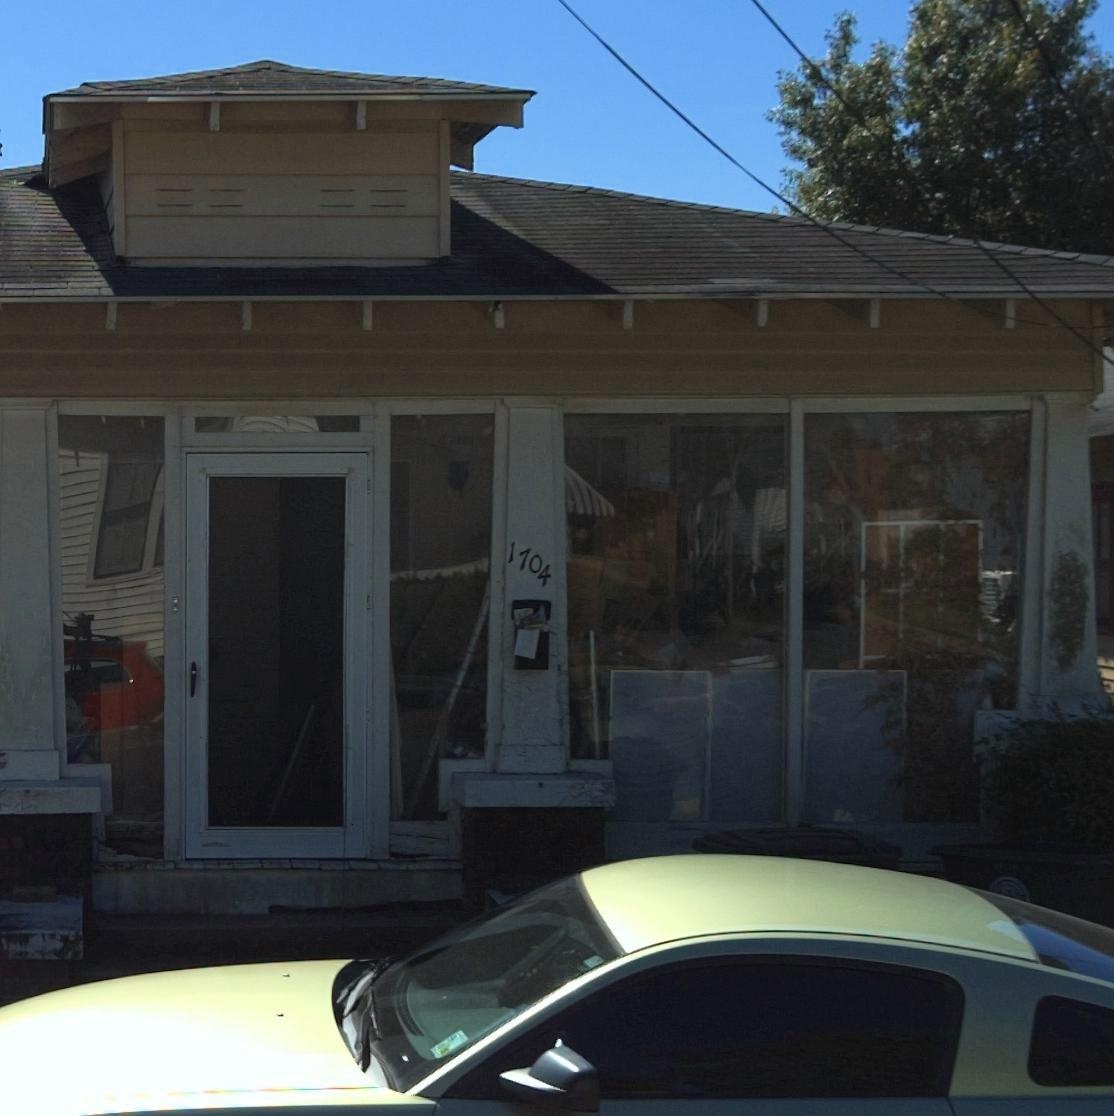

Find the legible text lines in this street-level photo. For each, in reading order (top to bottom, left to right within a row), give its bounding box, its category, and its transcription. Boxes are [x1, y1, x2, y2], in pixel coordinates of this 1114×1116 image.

[504, 538, 555, 590] StreetNumber: 1704